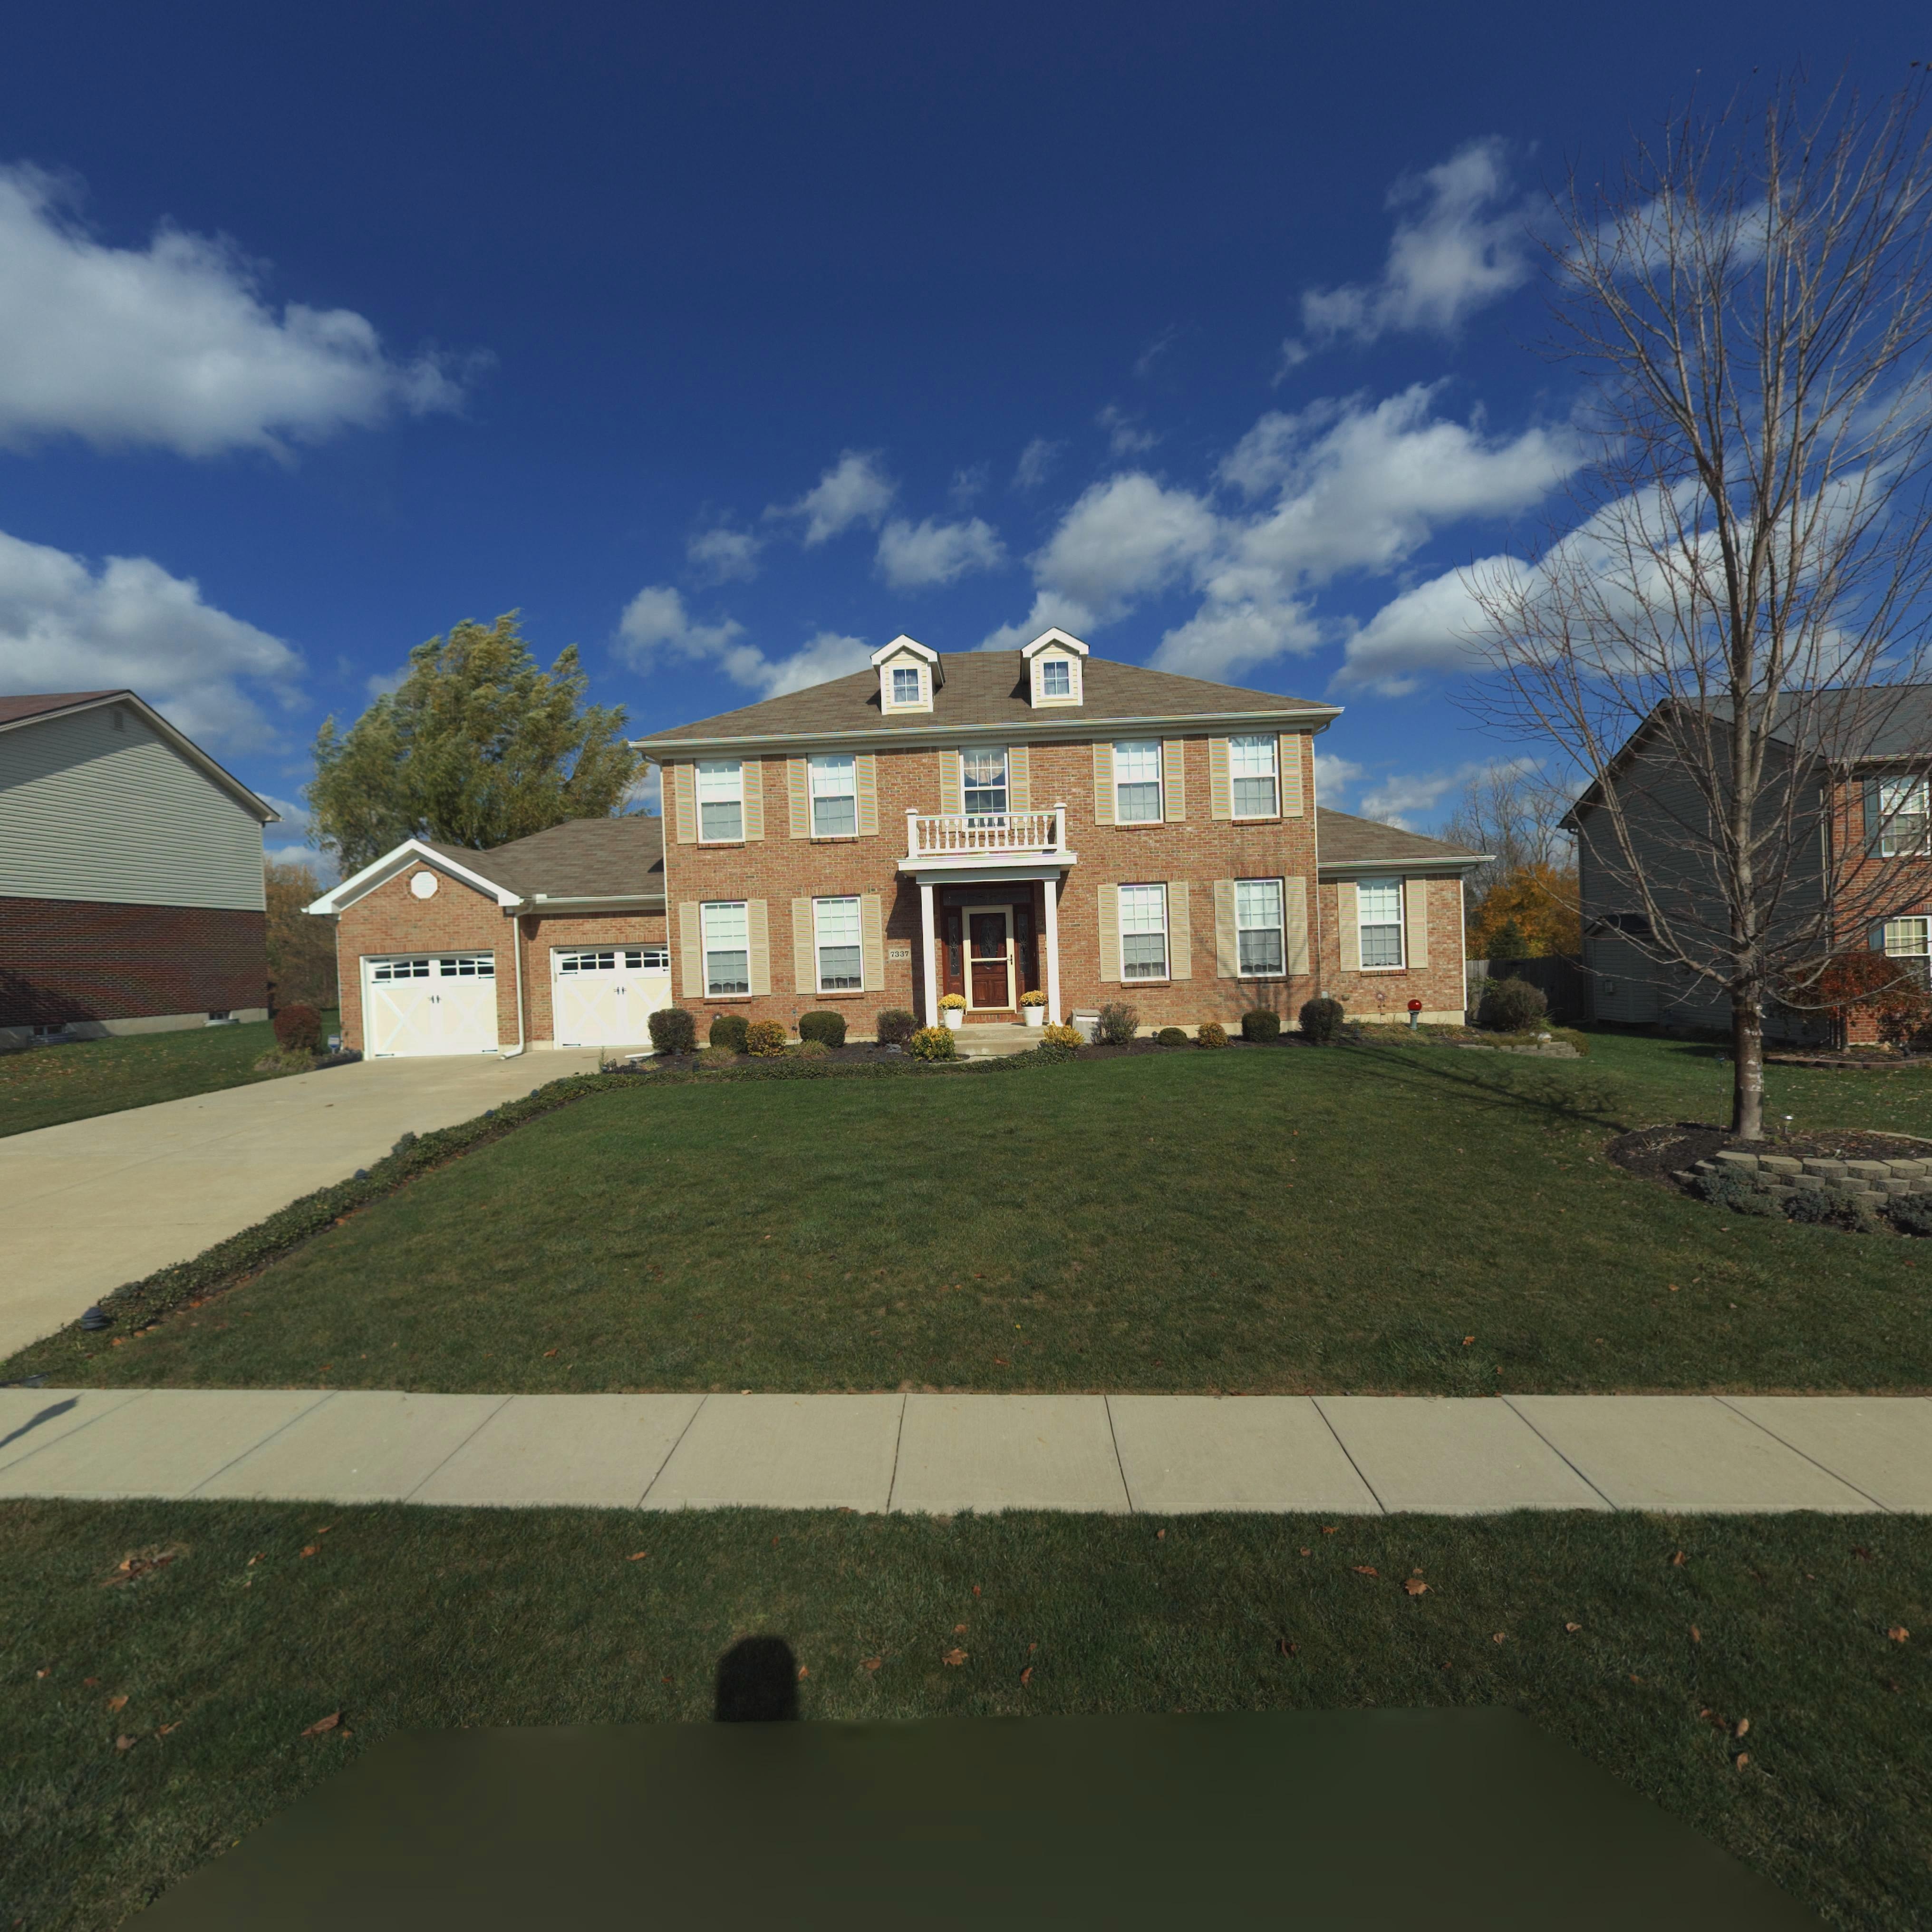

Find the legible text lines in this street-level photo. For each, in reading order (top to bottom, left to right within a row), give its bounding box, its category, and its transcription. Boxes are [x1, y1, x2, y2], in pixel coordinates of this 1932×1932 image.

[889, 950, 909, 957] StreetNumber: 7337